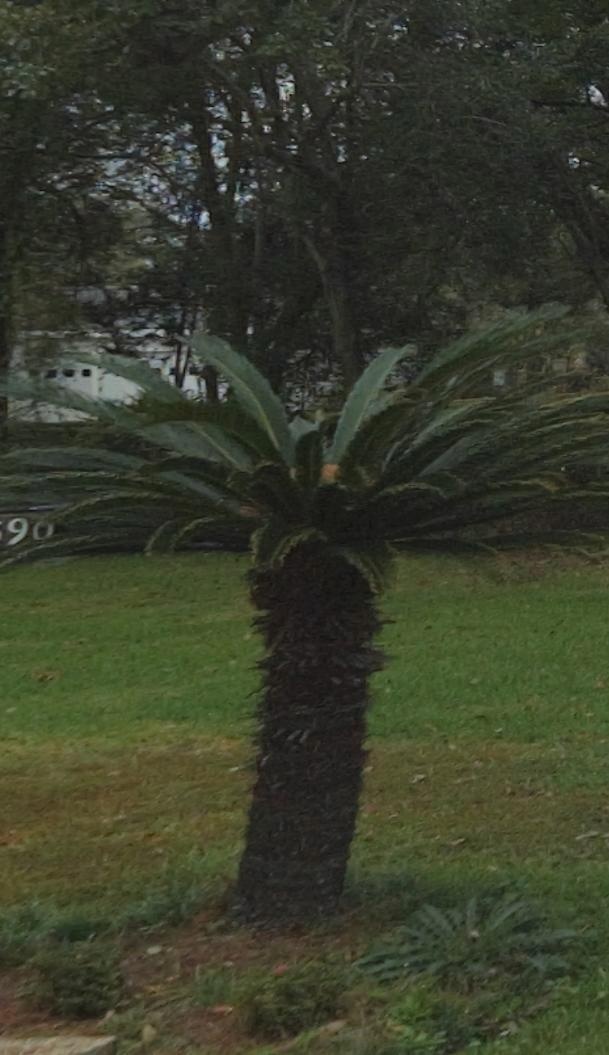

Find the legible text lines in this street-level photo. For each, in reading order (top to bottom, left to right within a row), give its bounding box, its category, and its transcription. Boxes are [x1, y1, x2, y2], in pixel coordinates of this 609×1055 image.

[0, 517, 57, 546] StreetNumber: 590